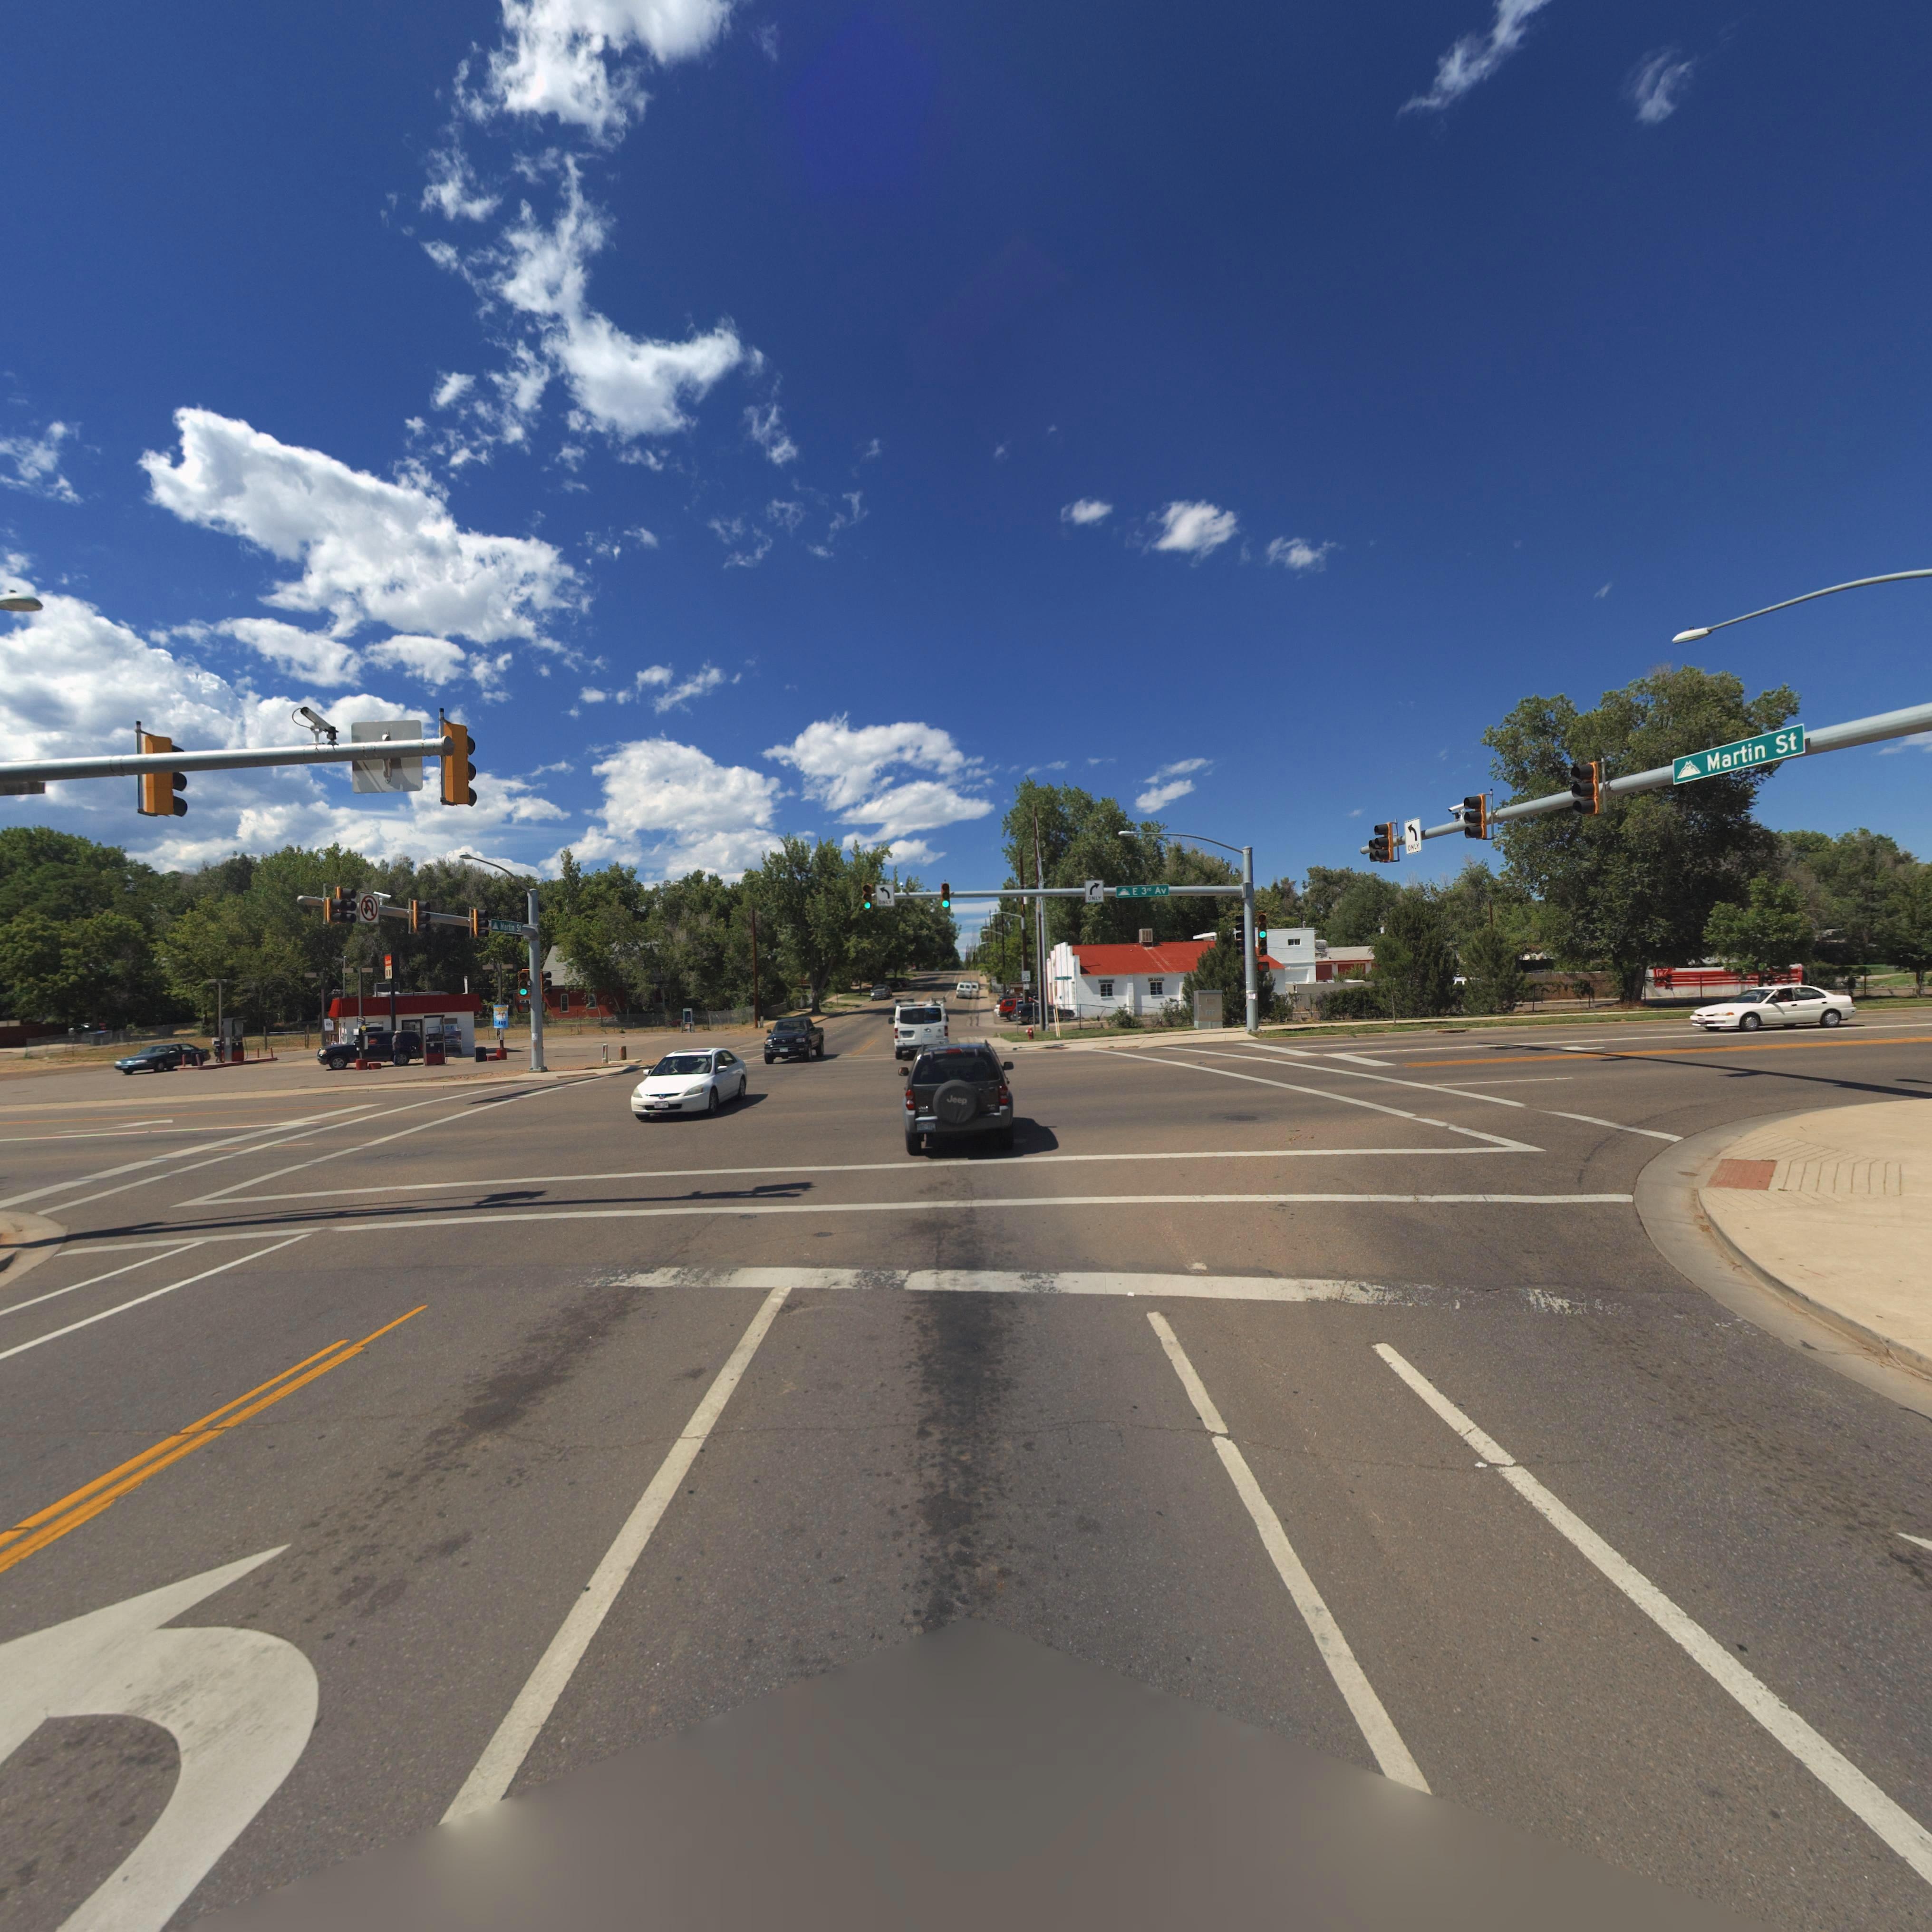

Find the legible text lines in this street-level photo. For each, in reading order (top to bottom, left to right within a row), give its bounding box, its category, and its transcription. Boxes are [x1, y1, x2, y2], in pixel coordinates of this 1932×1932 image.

[1705, 731, 1798, 773] StreetName: Martin St
[1131, 886, 1167, 895] StreetName: E 3rd Av
[500, 921, 521, 933] StreetName: Martin St